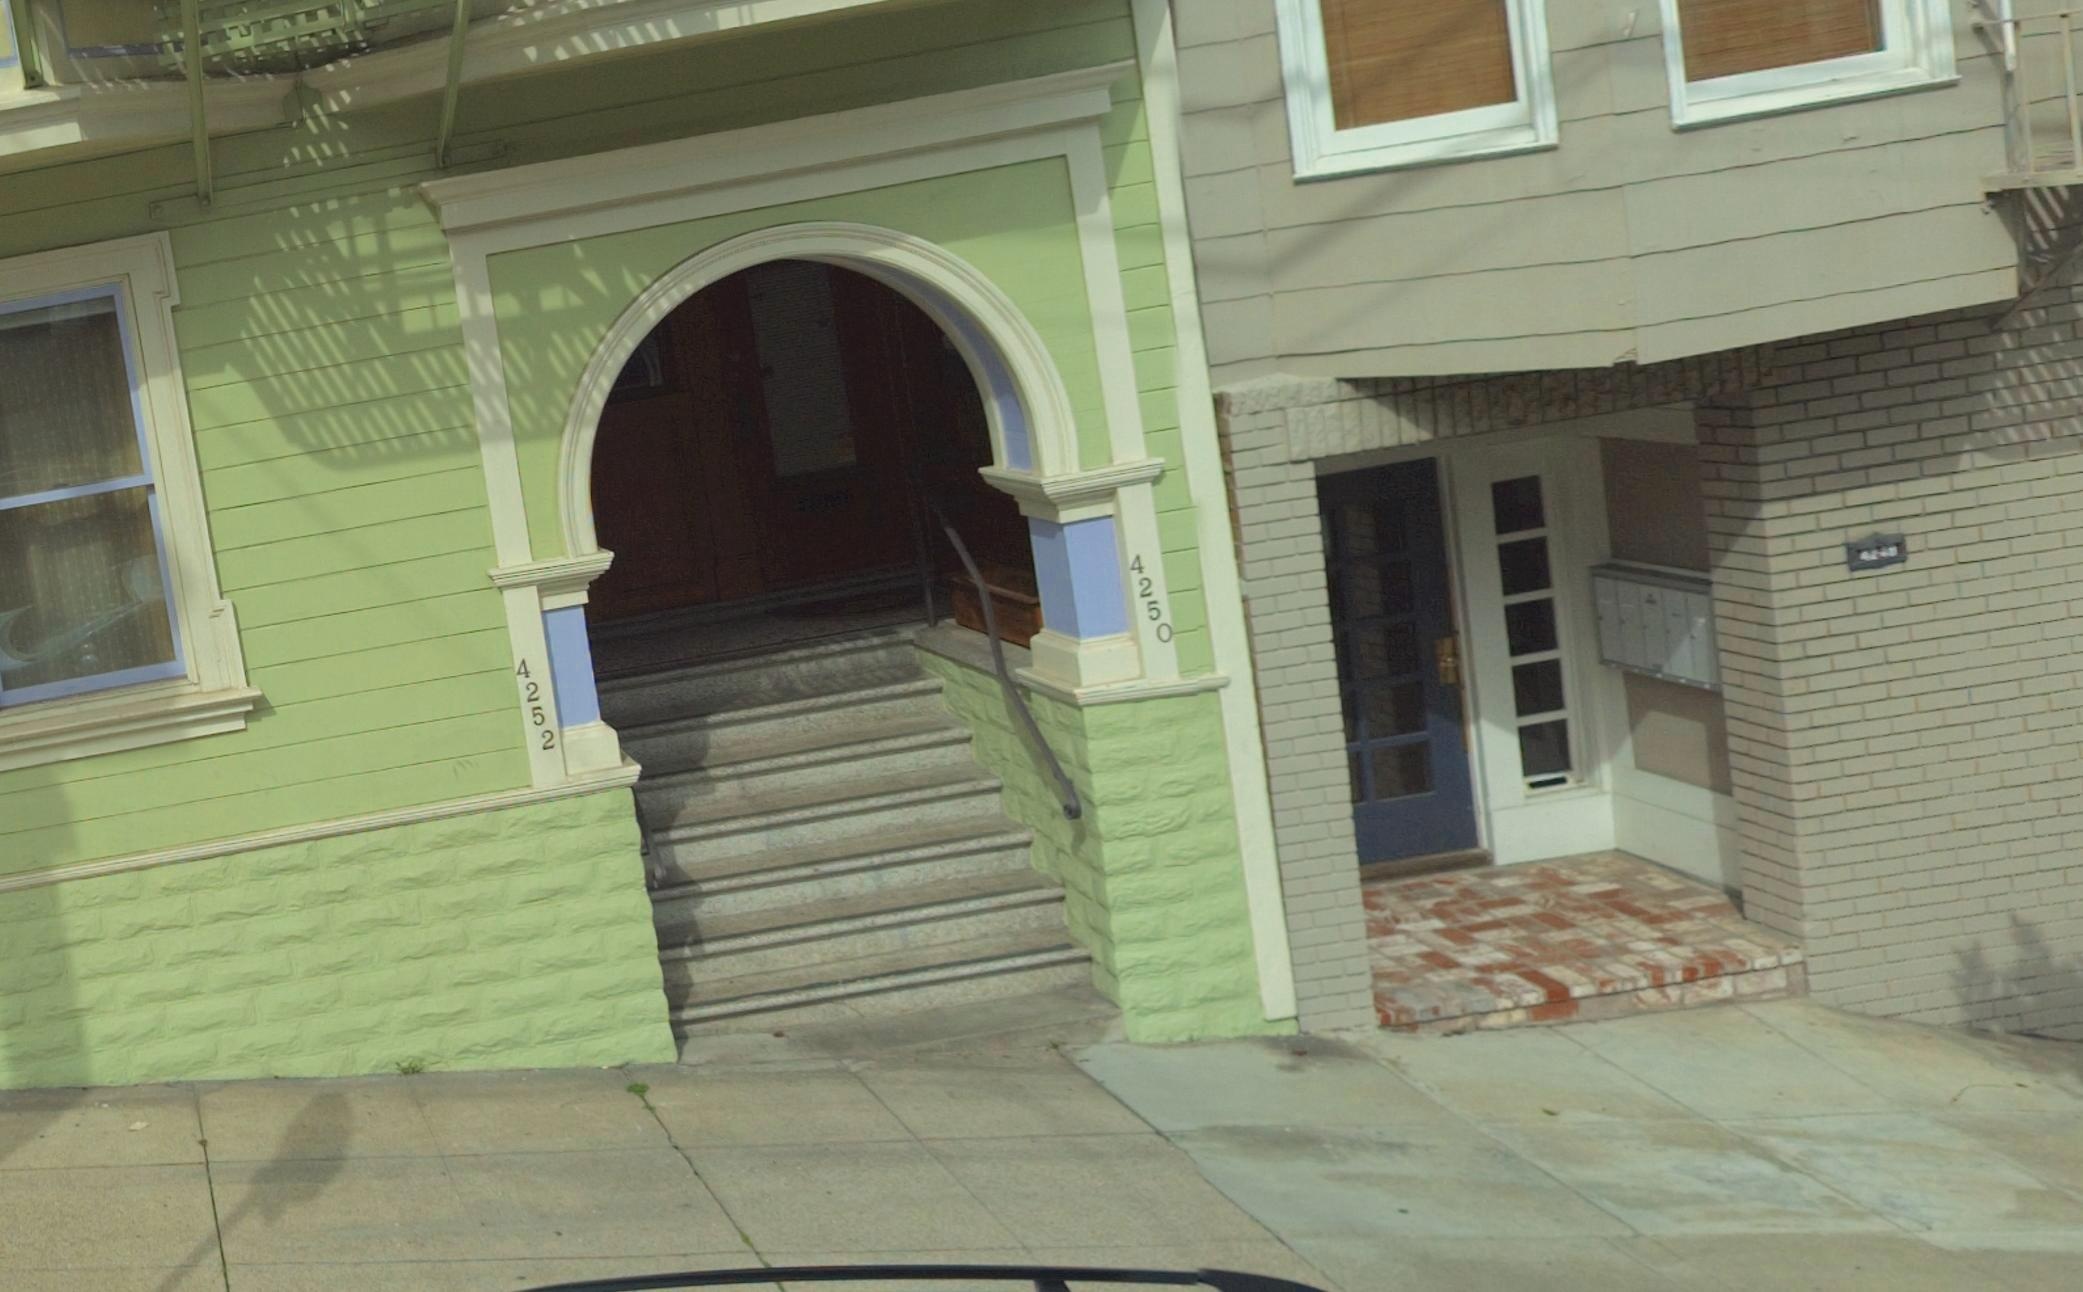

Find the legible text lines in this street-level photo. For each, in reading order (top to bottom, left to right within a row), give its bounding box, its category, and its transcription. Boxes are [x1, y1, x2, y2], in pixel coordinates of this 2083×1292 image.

[1123, 552, 1178, 646] StreetNumber: 4250
[510, 656, 558, 752] StreetNumber: 4252